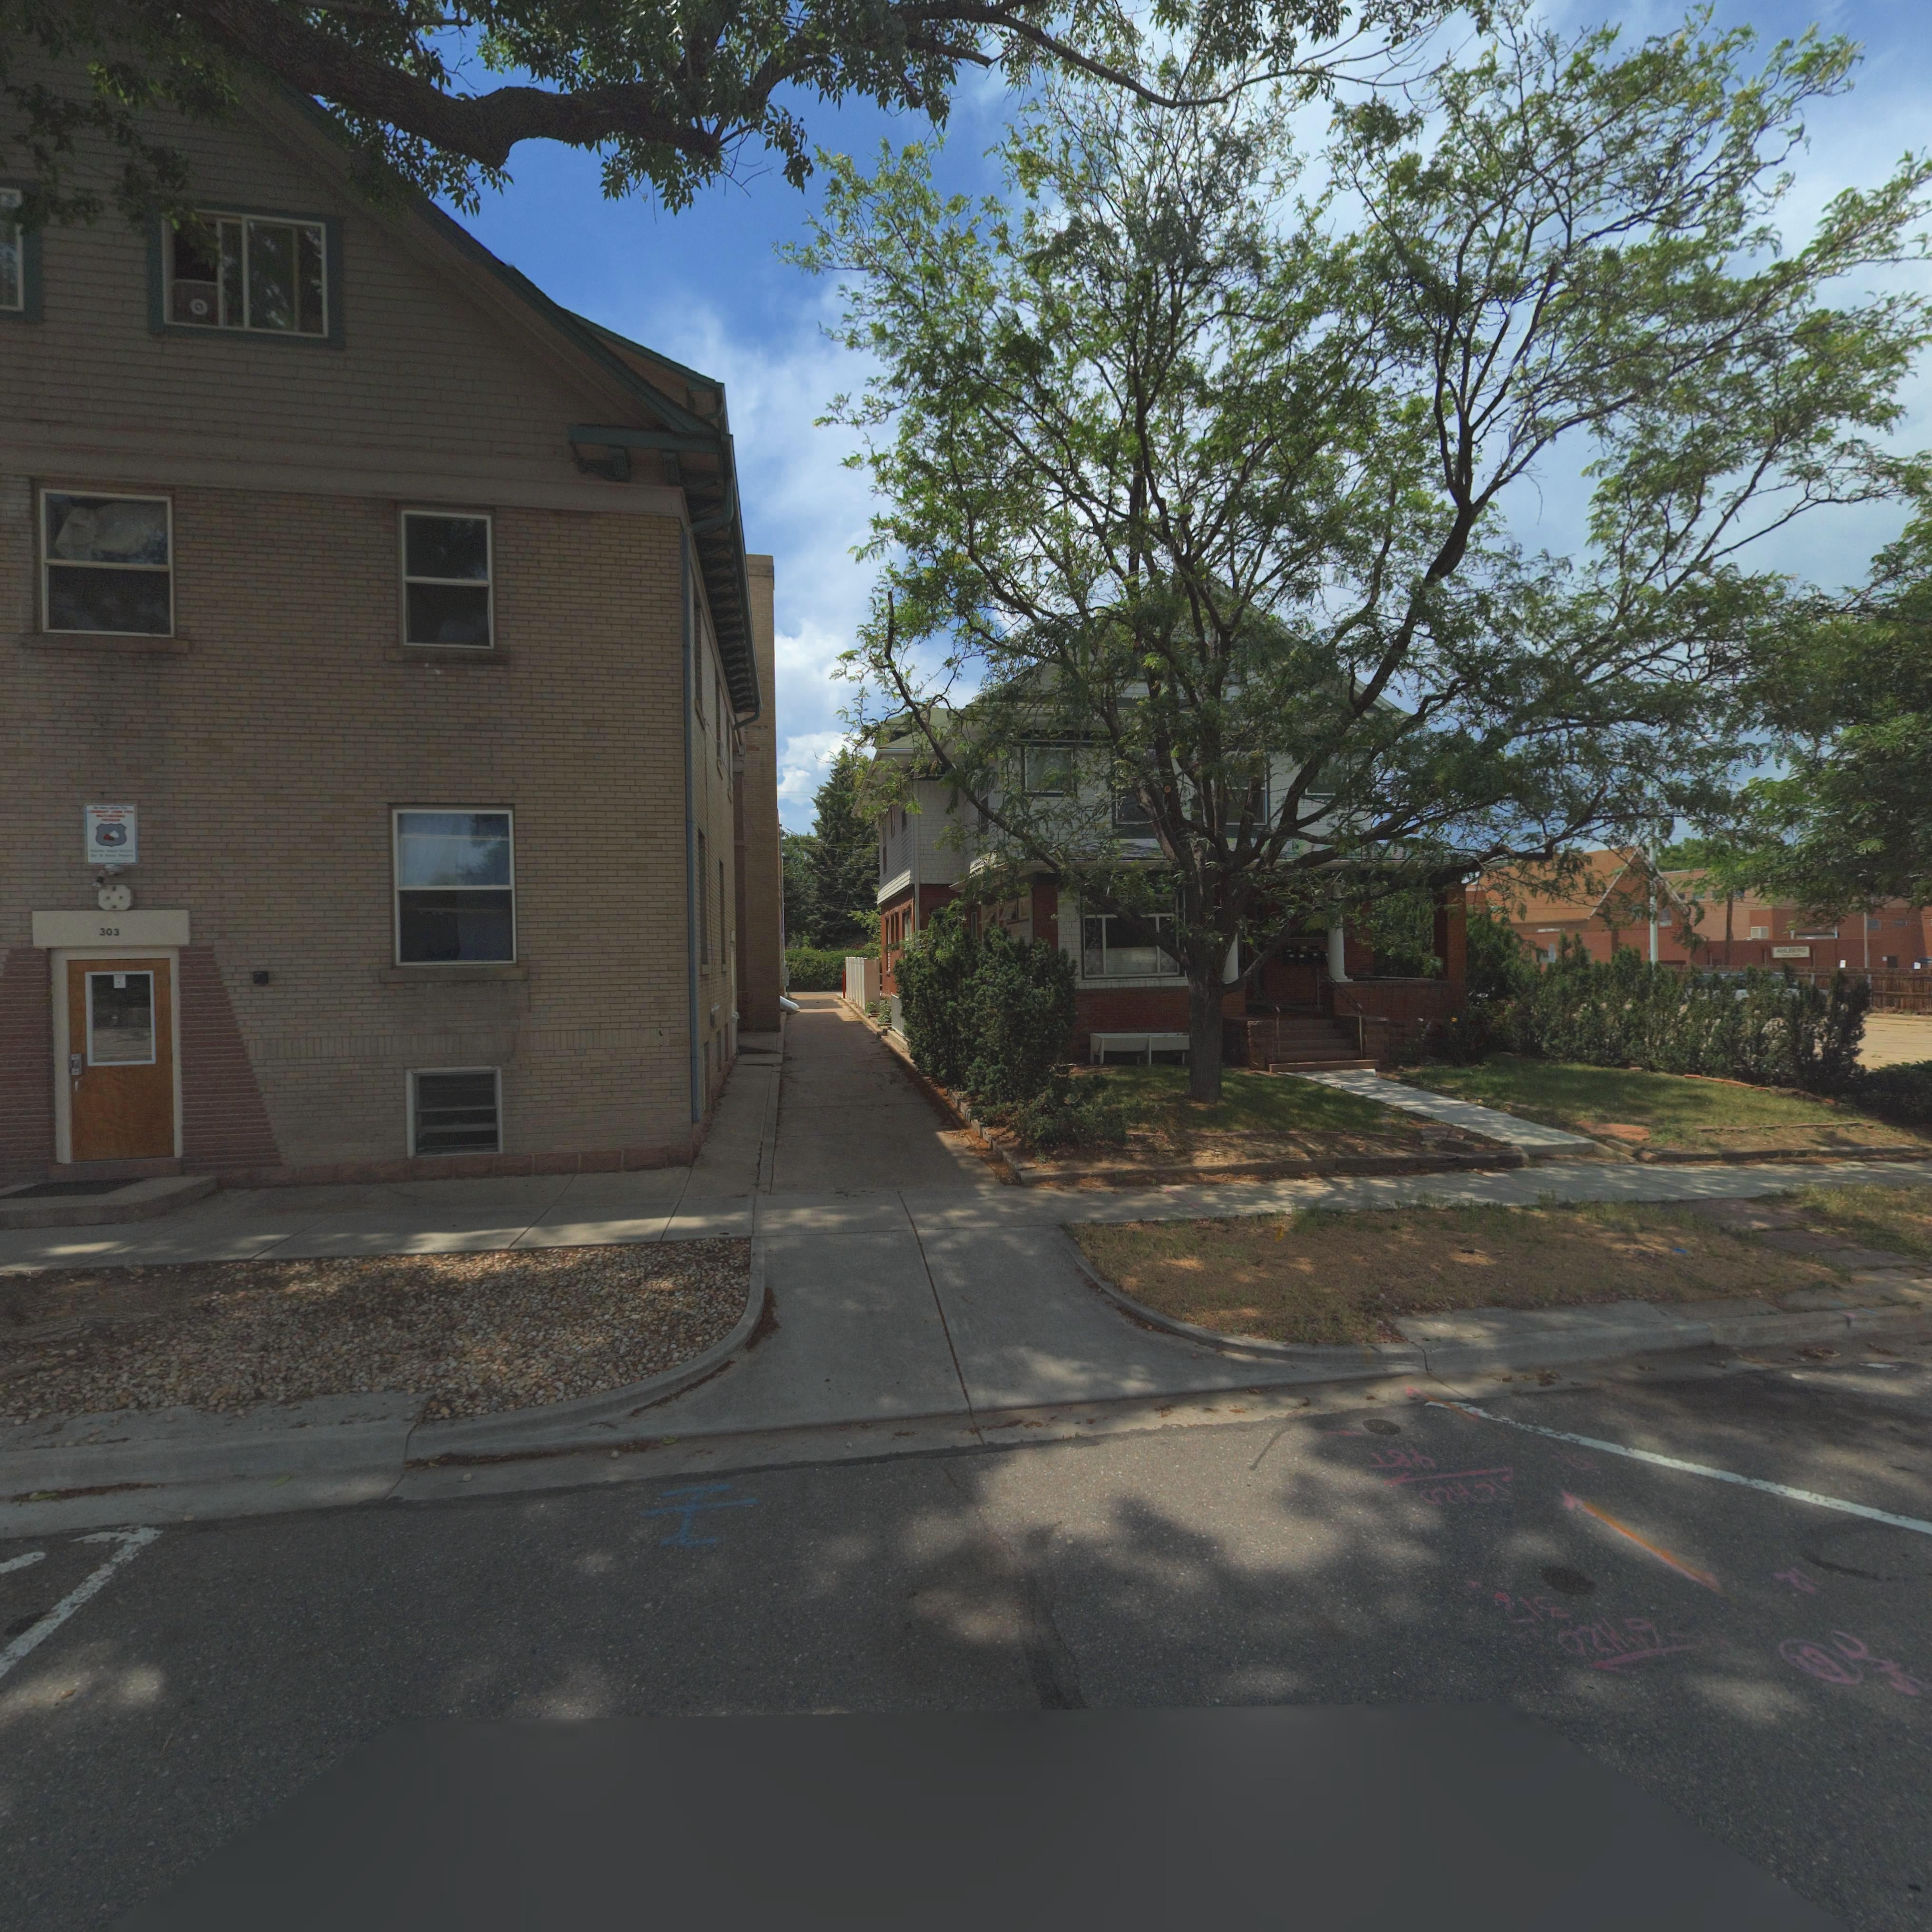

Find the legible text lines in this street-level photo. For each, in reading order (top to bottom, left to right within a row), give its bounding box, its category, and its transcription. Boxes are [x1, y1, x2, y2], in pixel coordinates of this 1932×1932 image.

[99, 927, 120, 936] StreetNumber: 303
[1776, 947, 1806, 953] BusinessName: AHLBERG